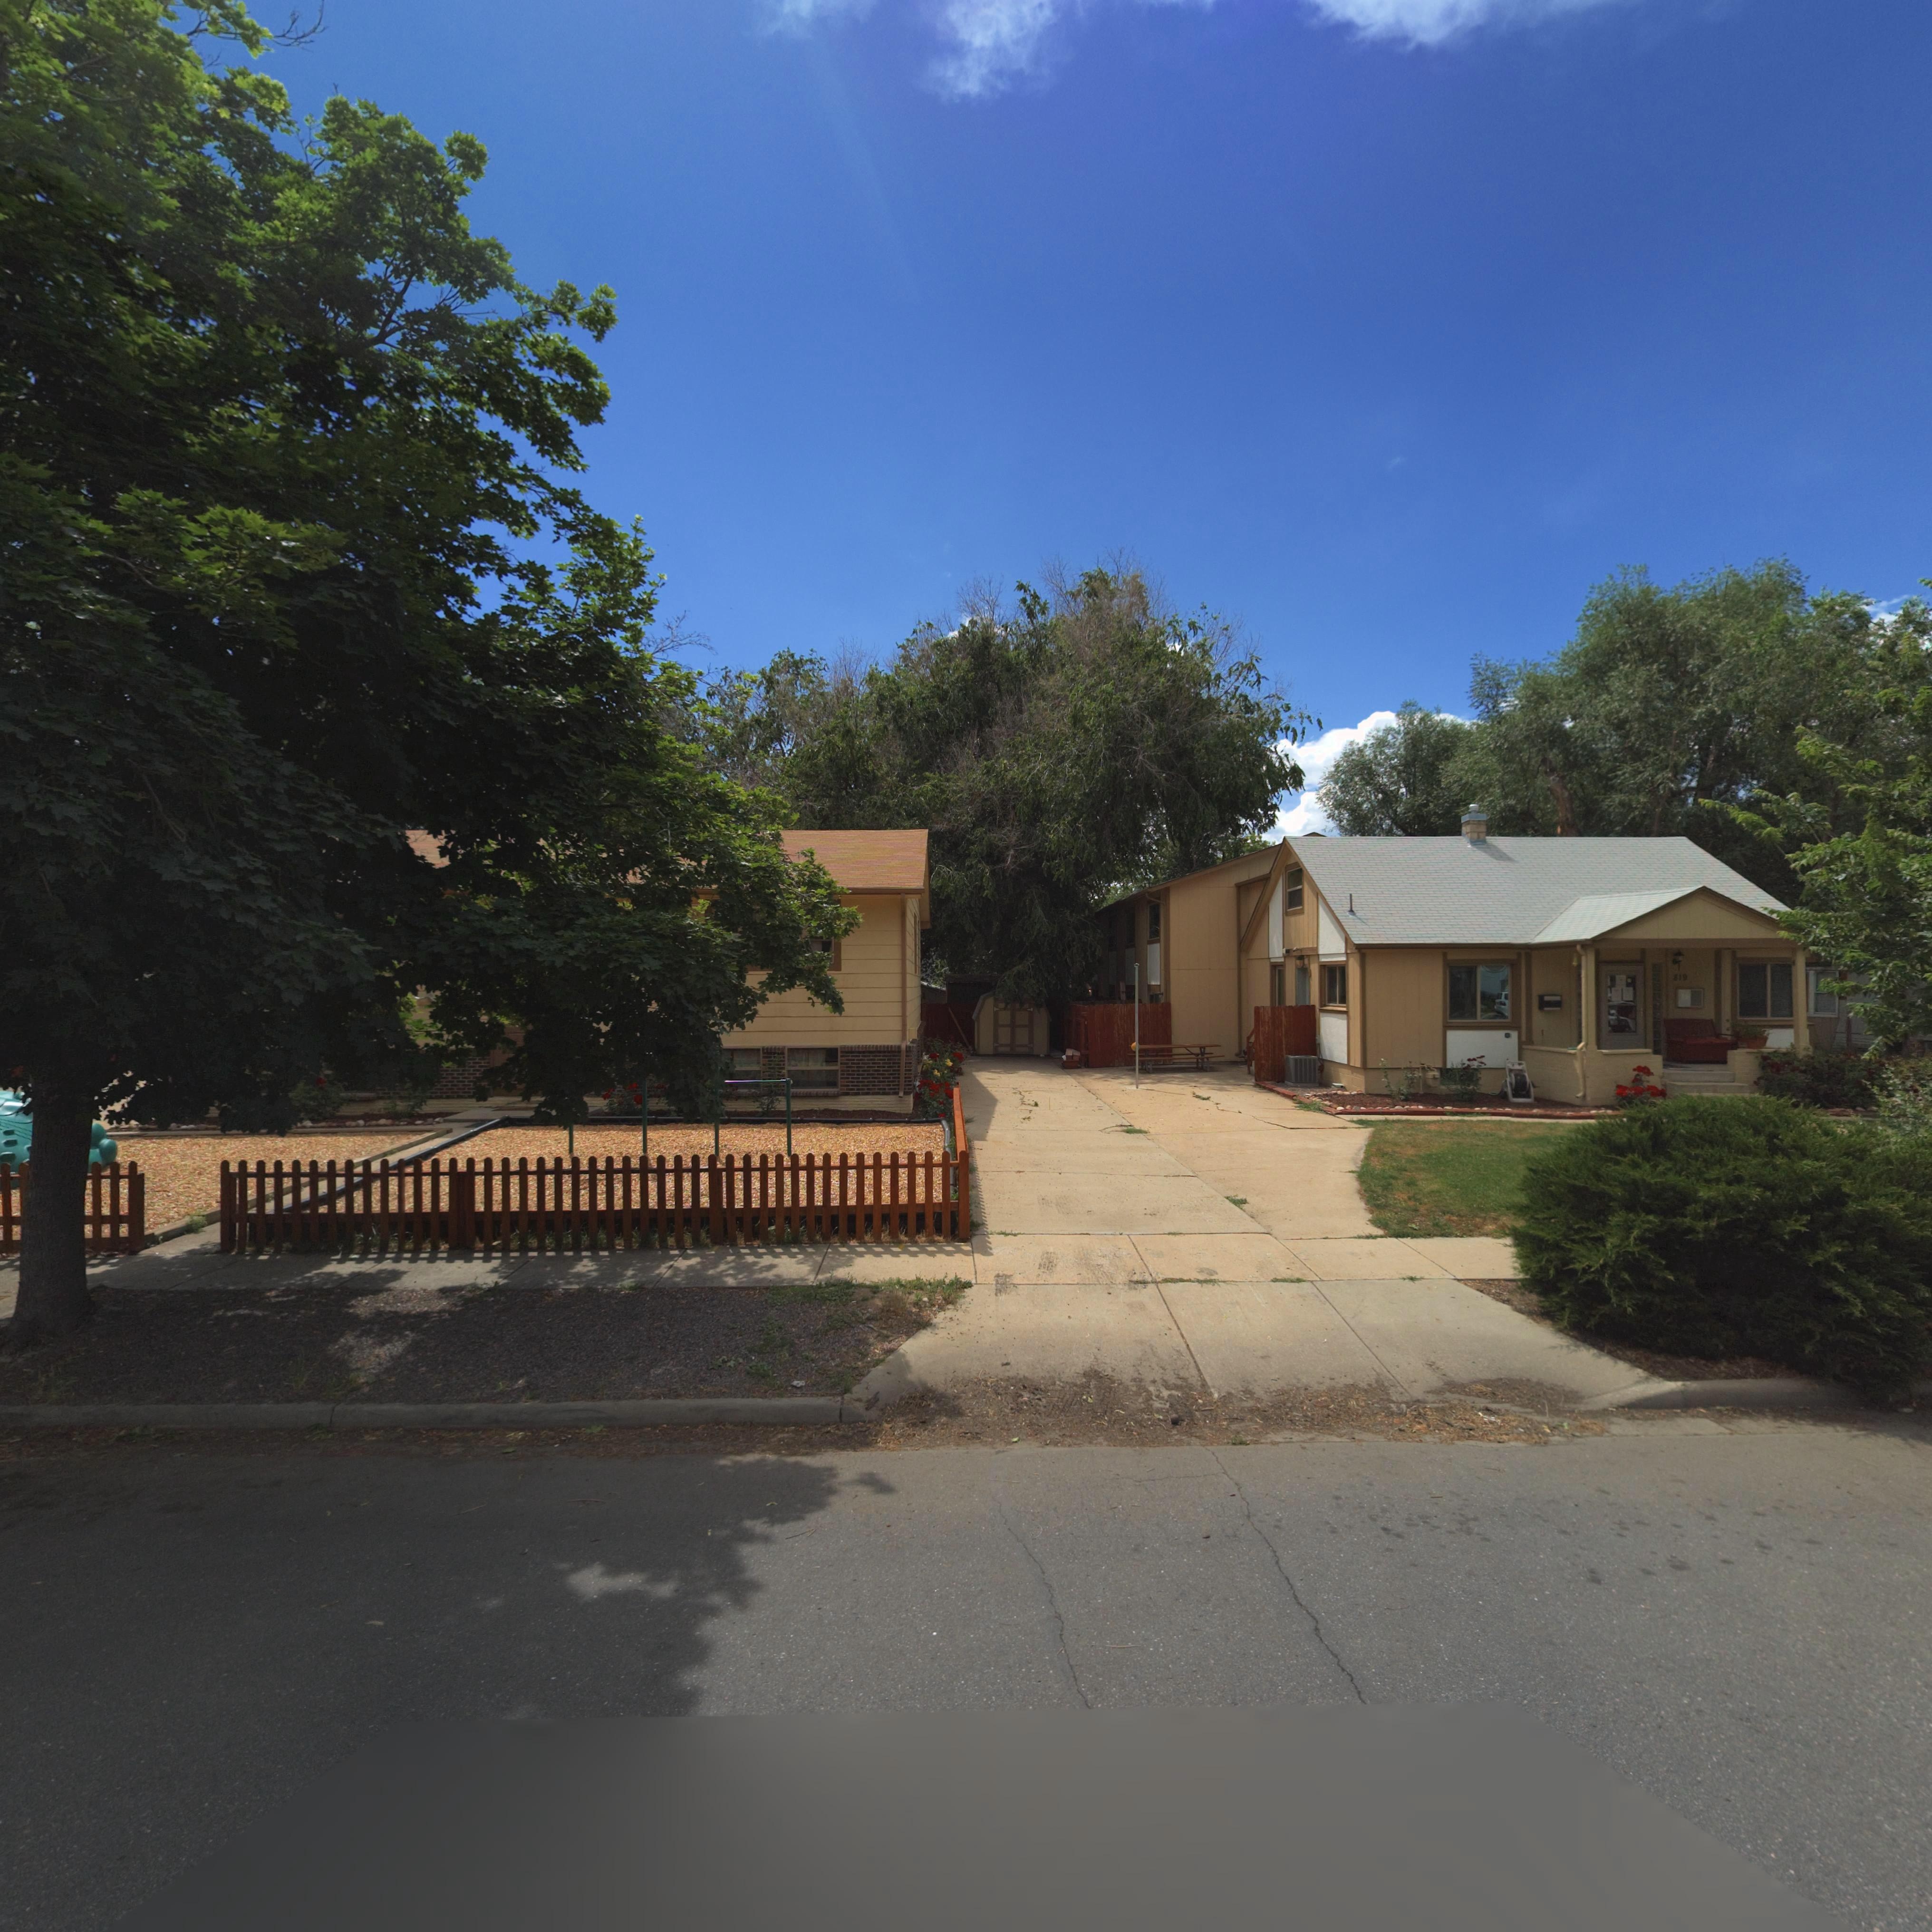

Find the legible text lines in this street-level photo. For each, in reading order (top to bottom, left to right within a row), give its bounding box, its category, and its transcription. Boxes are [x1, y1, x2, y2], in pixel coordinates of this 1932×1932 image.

[1673, 974, 1687, 981] StreetNumber: 819